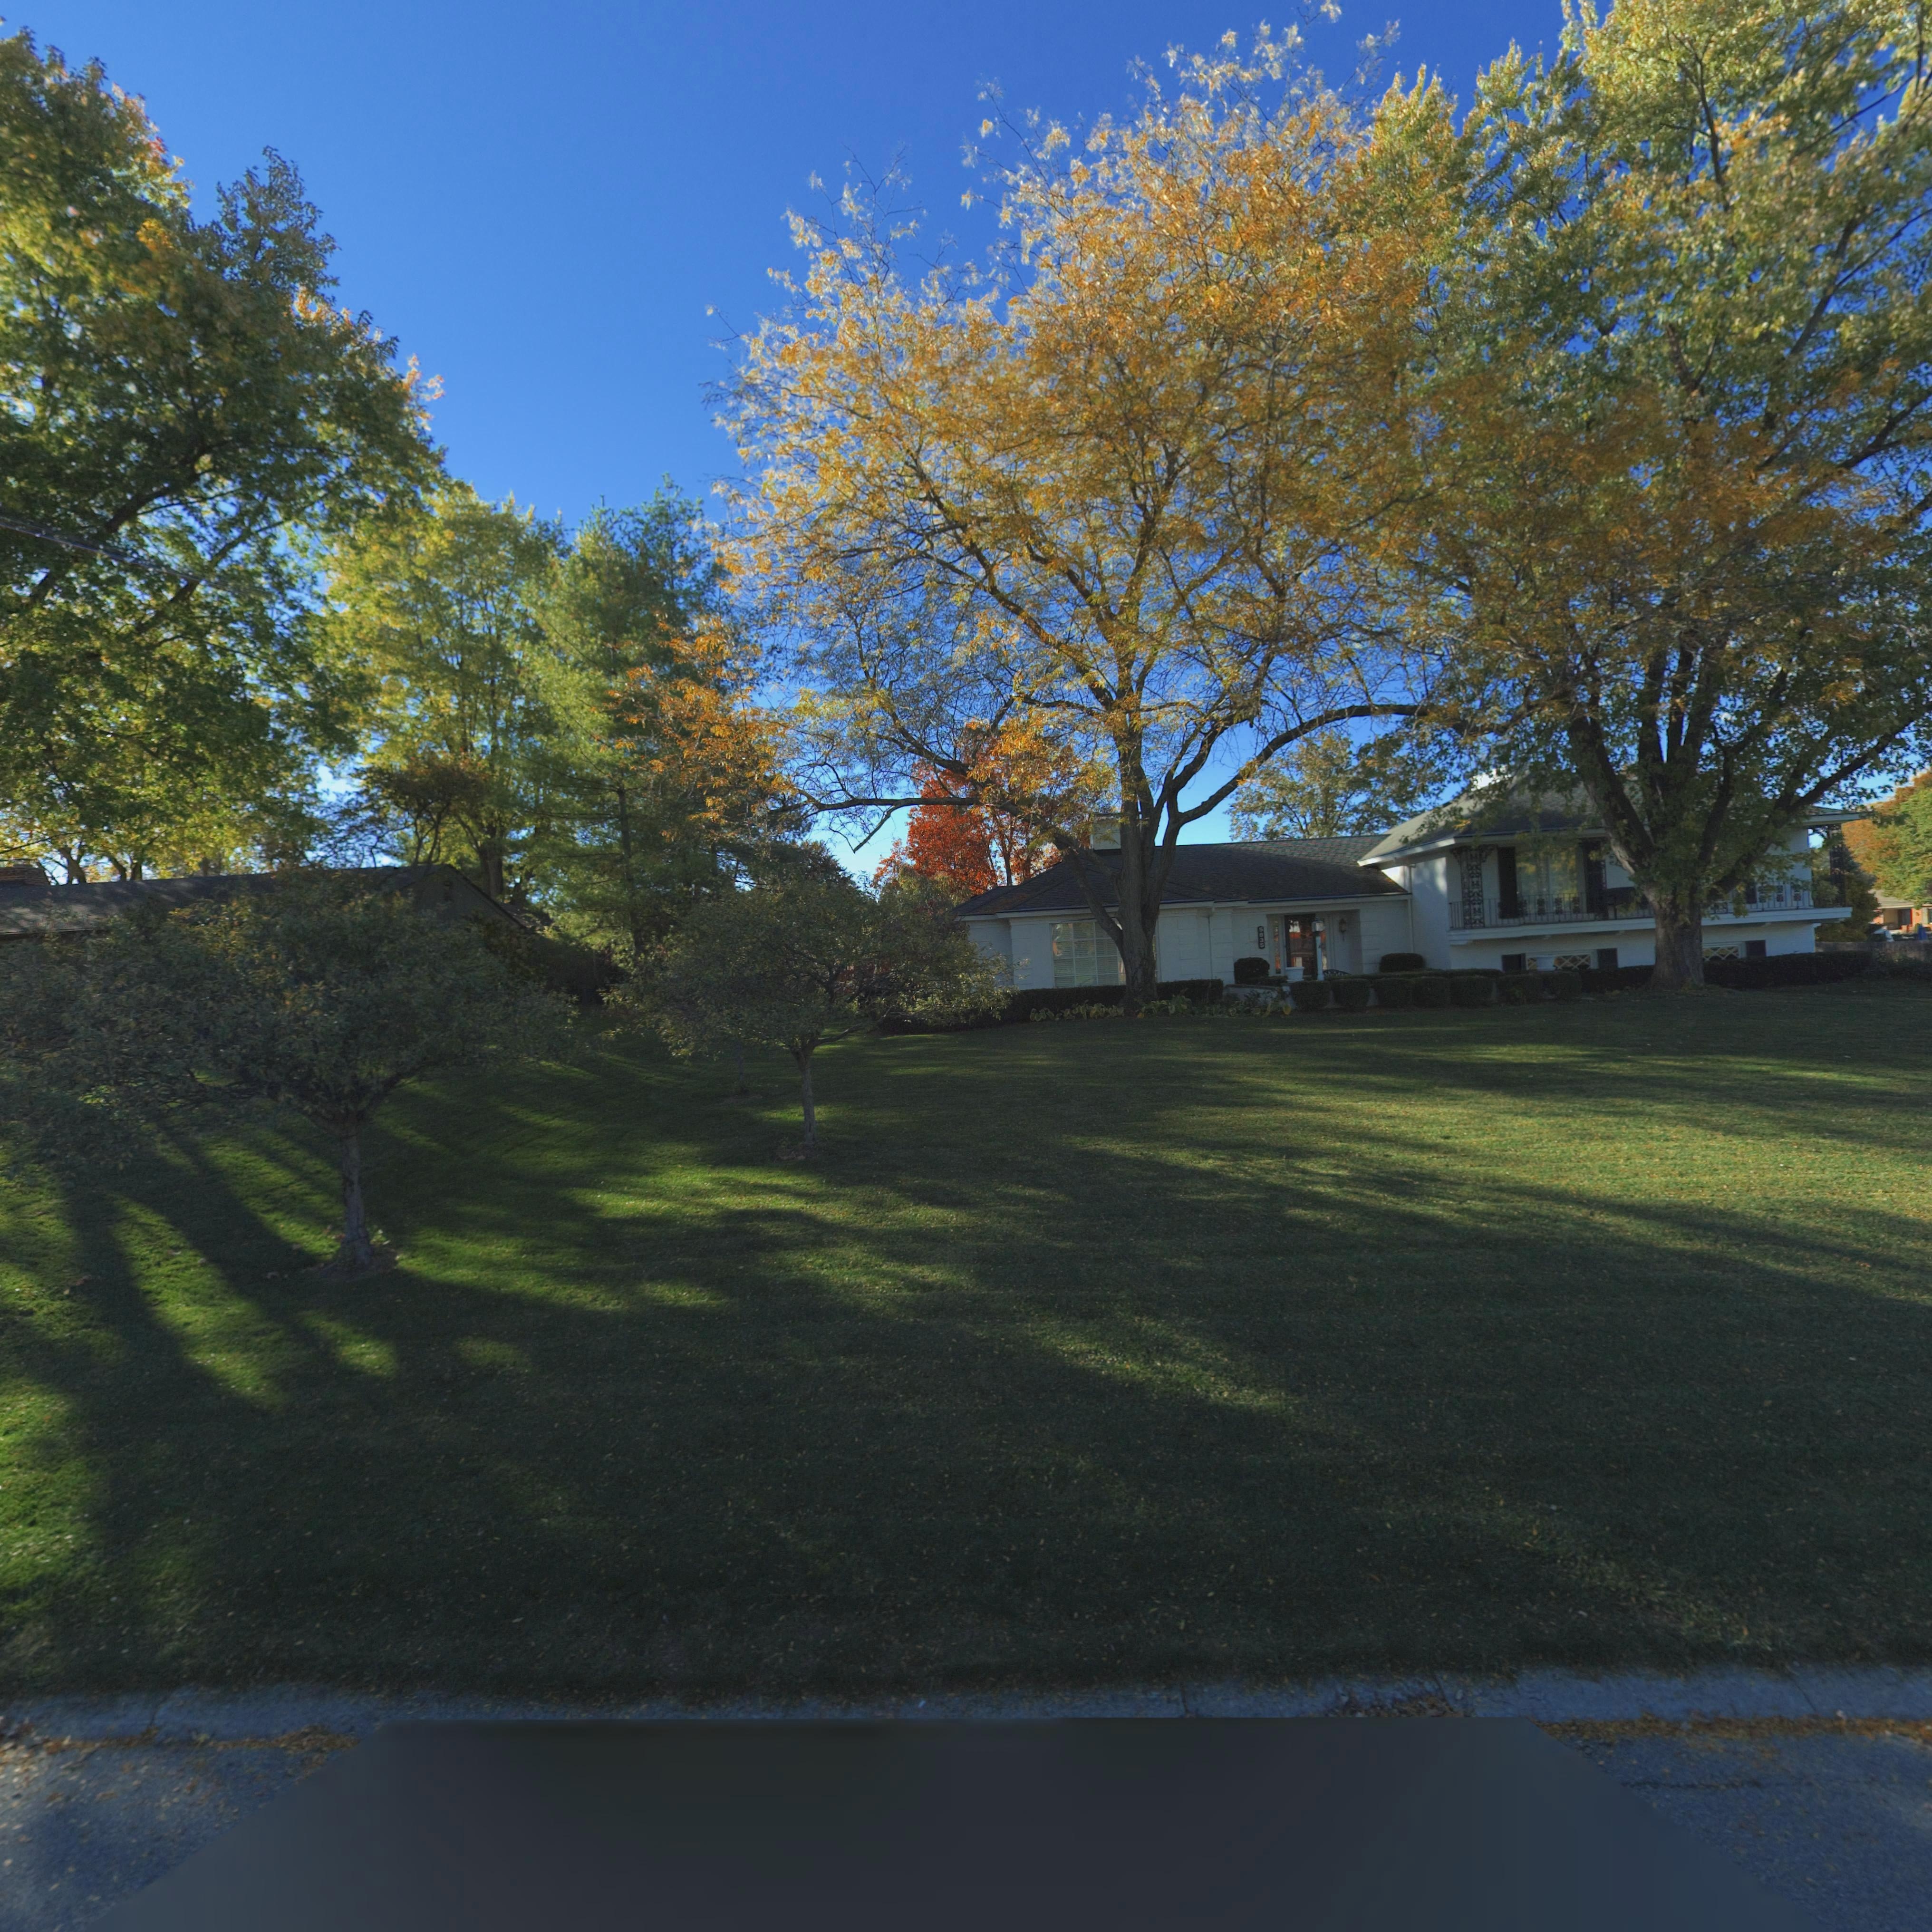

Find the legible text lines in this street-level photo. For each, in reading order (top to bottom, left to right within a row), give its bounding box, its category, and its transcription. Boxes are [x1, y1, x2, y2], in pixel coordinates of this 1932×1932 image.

[1258, 927, 1265, 948] StreetNumber: 5835